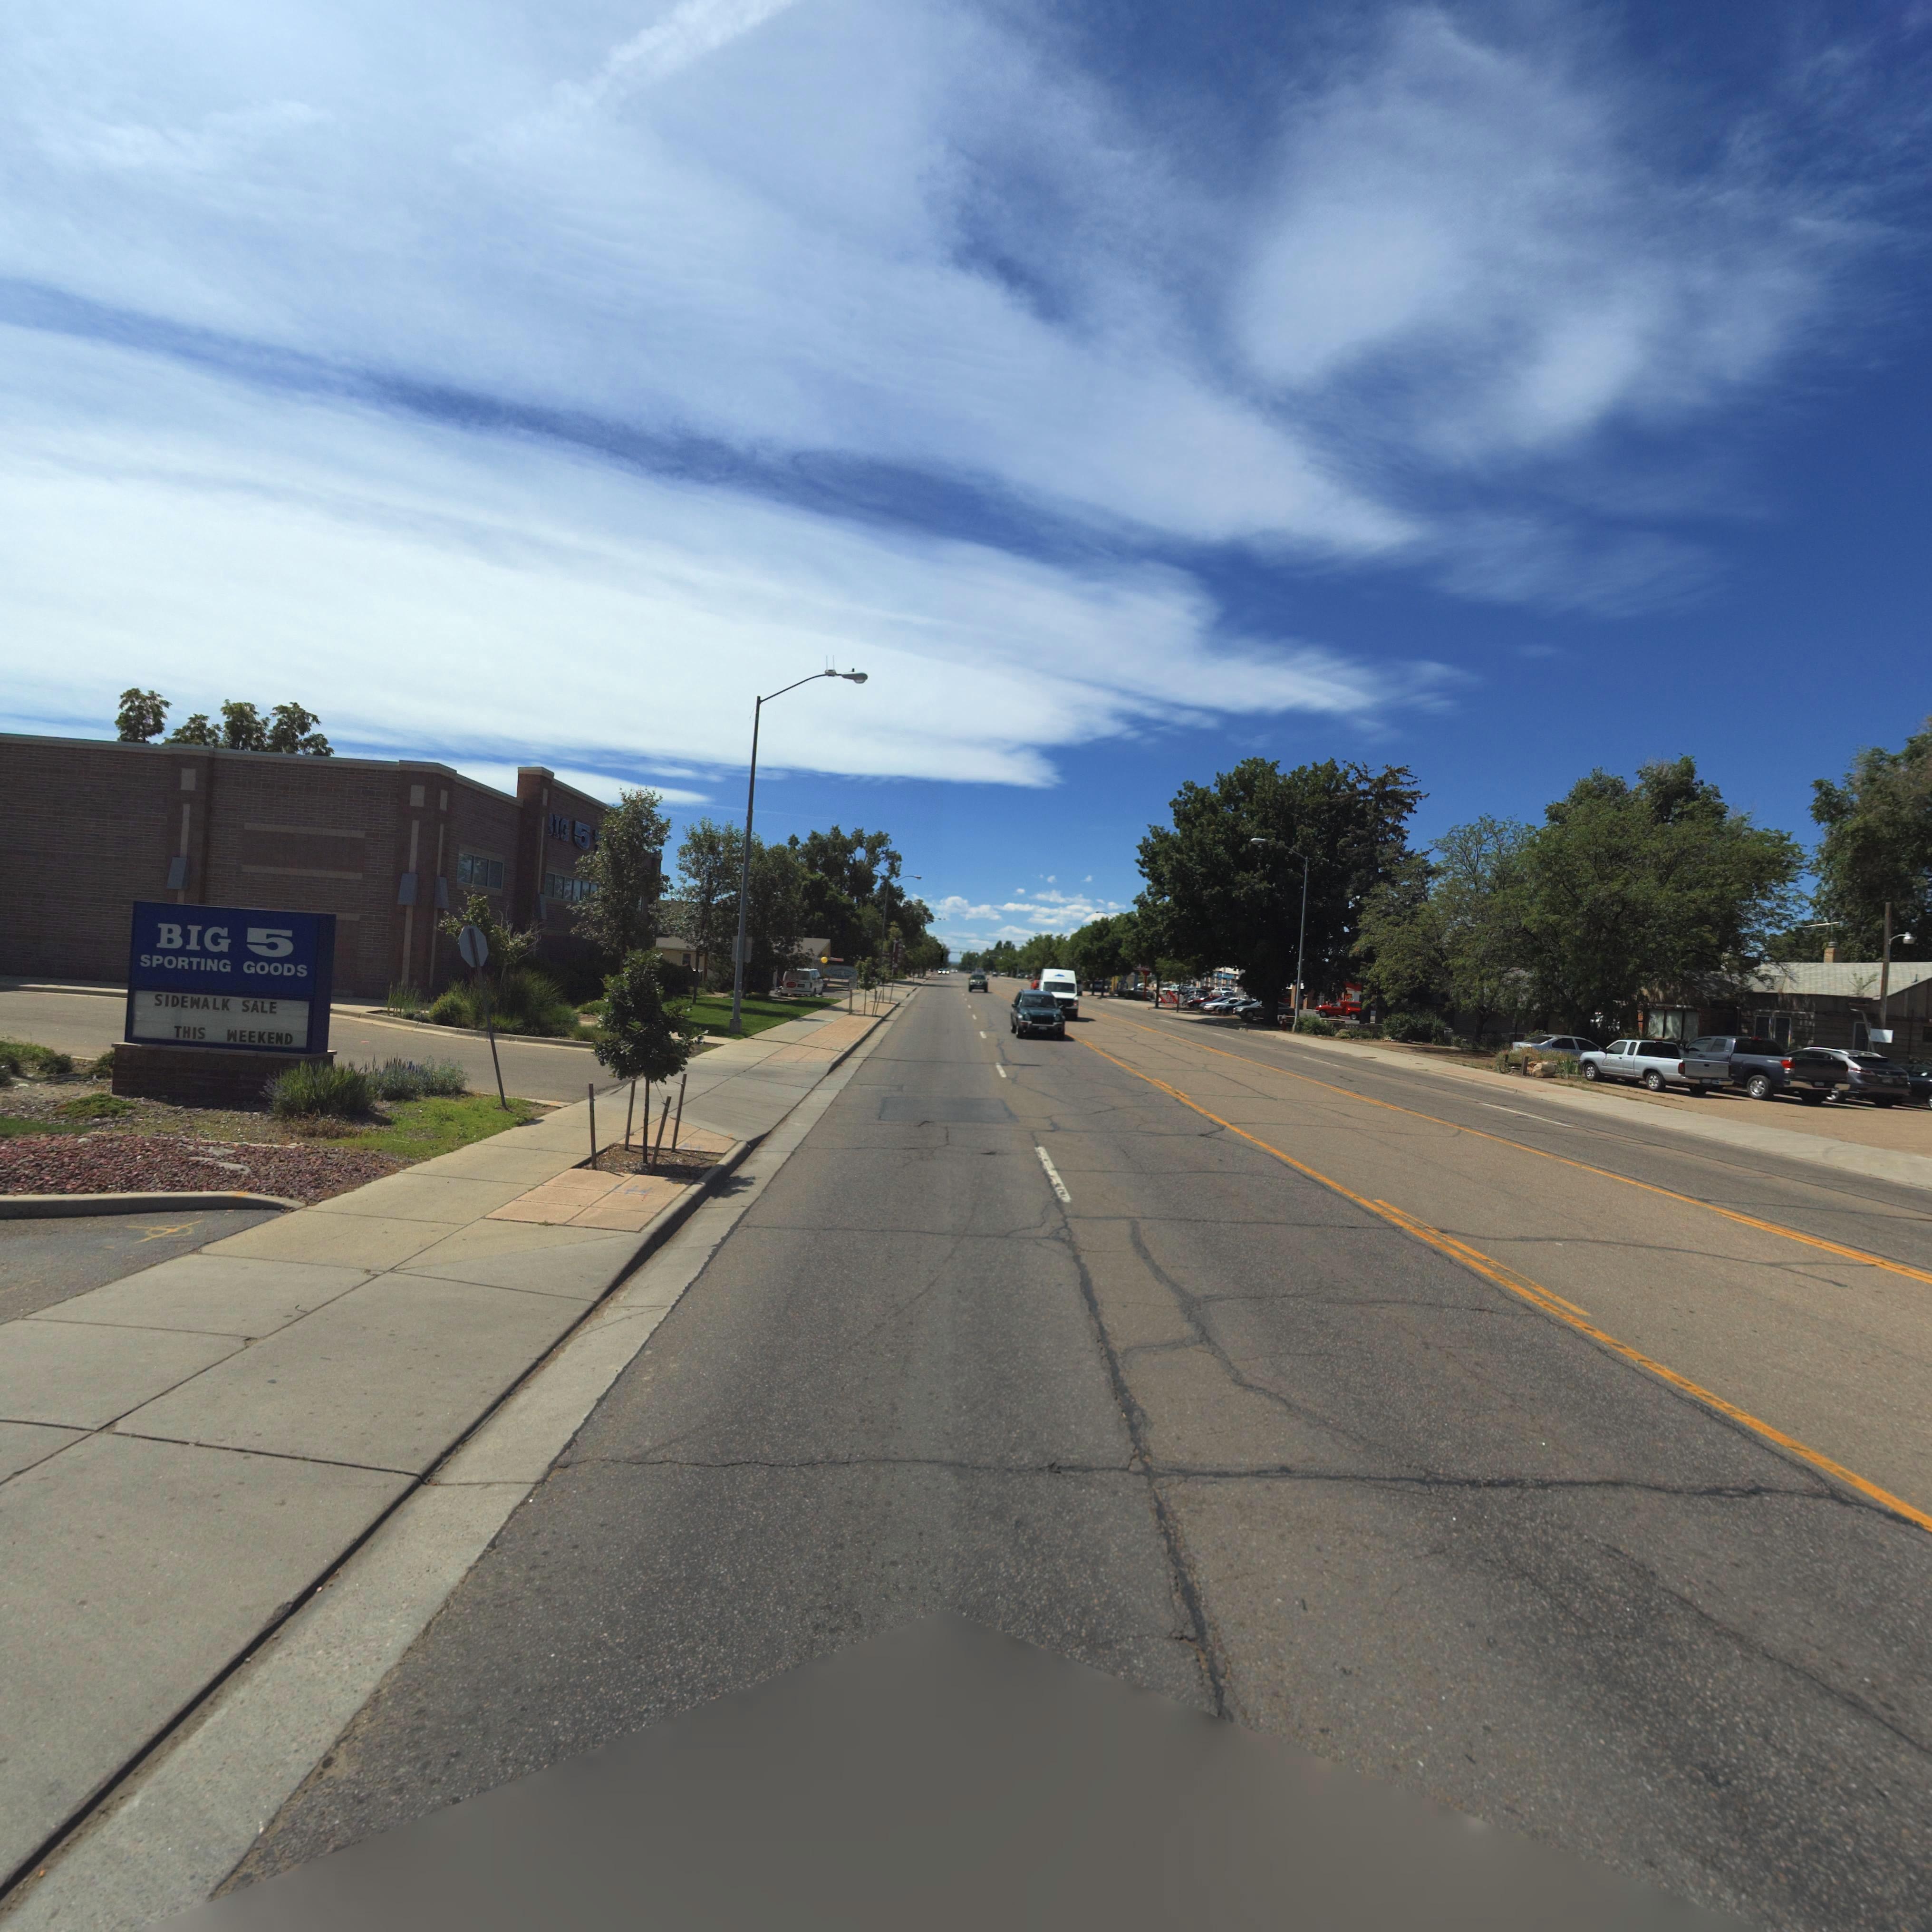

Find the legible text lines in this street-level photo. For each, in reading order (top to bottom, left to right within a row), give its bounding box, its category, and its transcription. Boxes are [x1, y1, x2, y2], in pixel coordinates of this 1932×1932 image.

[546, 812, 591, 851] BusinessName: *IG 5
[155, 922, 294, 958] BusinessName: BIG 5
[139, 954, 309, 978] BusinessName: SPORTING GOODS